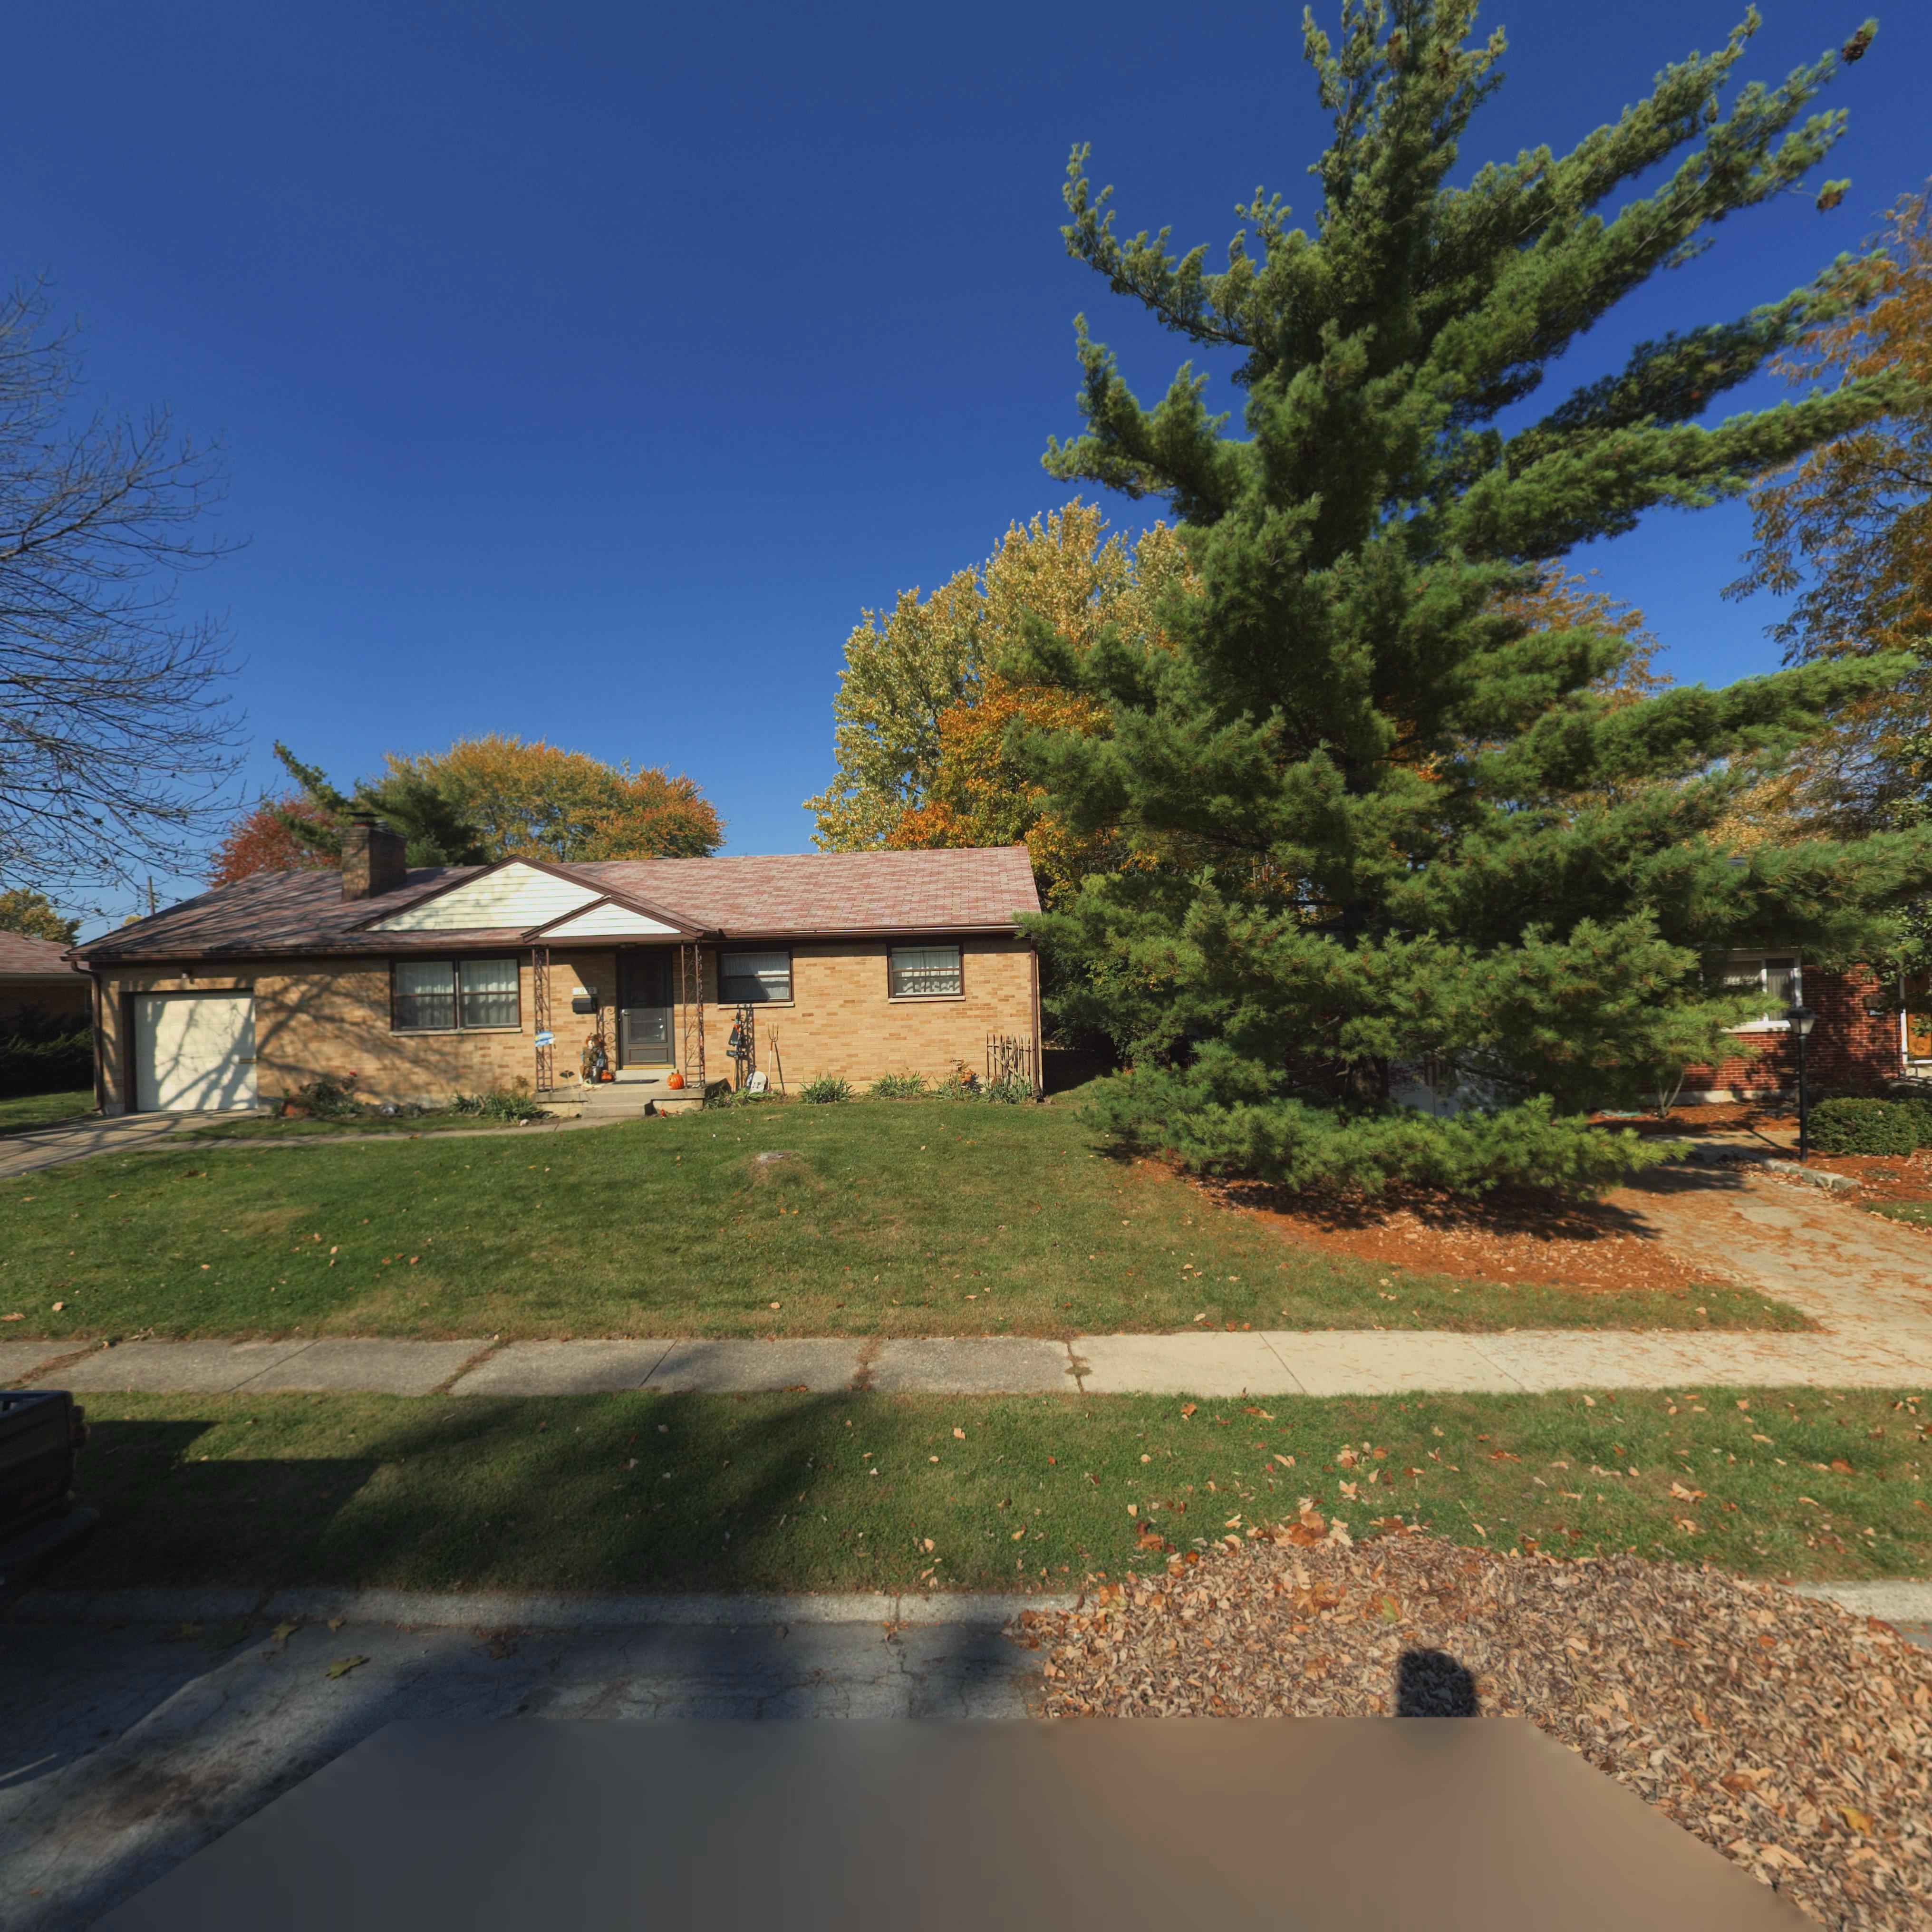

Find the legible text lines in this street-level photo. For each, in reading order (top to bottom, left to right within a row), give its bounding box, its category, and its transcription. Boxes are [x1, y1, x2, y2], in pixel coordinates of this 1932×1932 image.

[576, 987, 594, 995] StreetNumber: 1059
[751, 1082, 762, 1089] None: I.P.